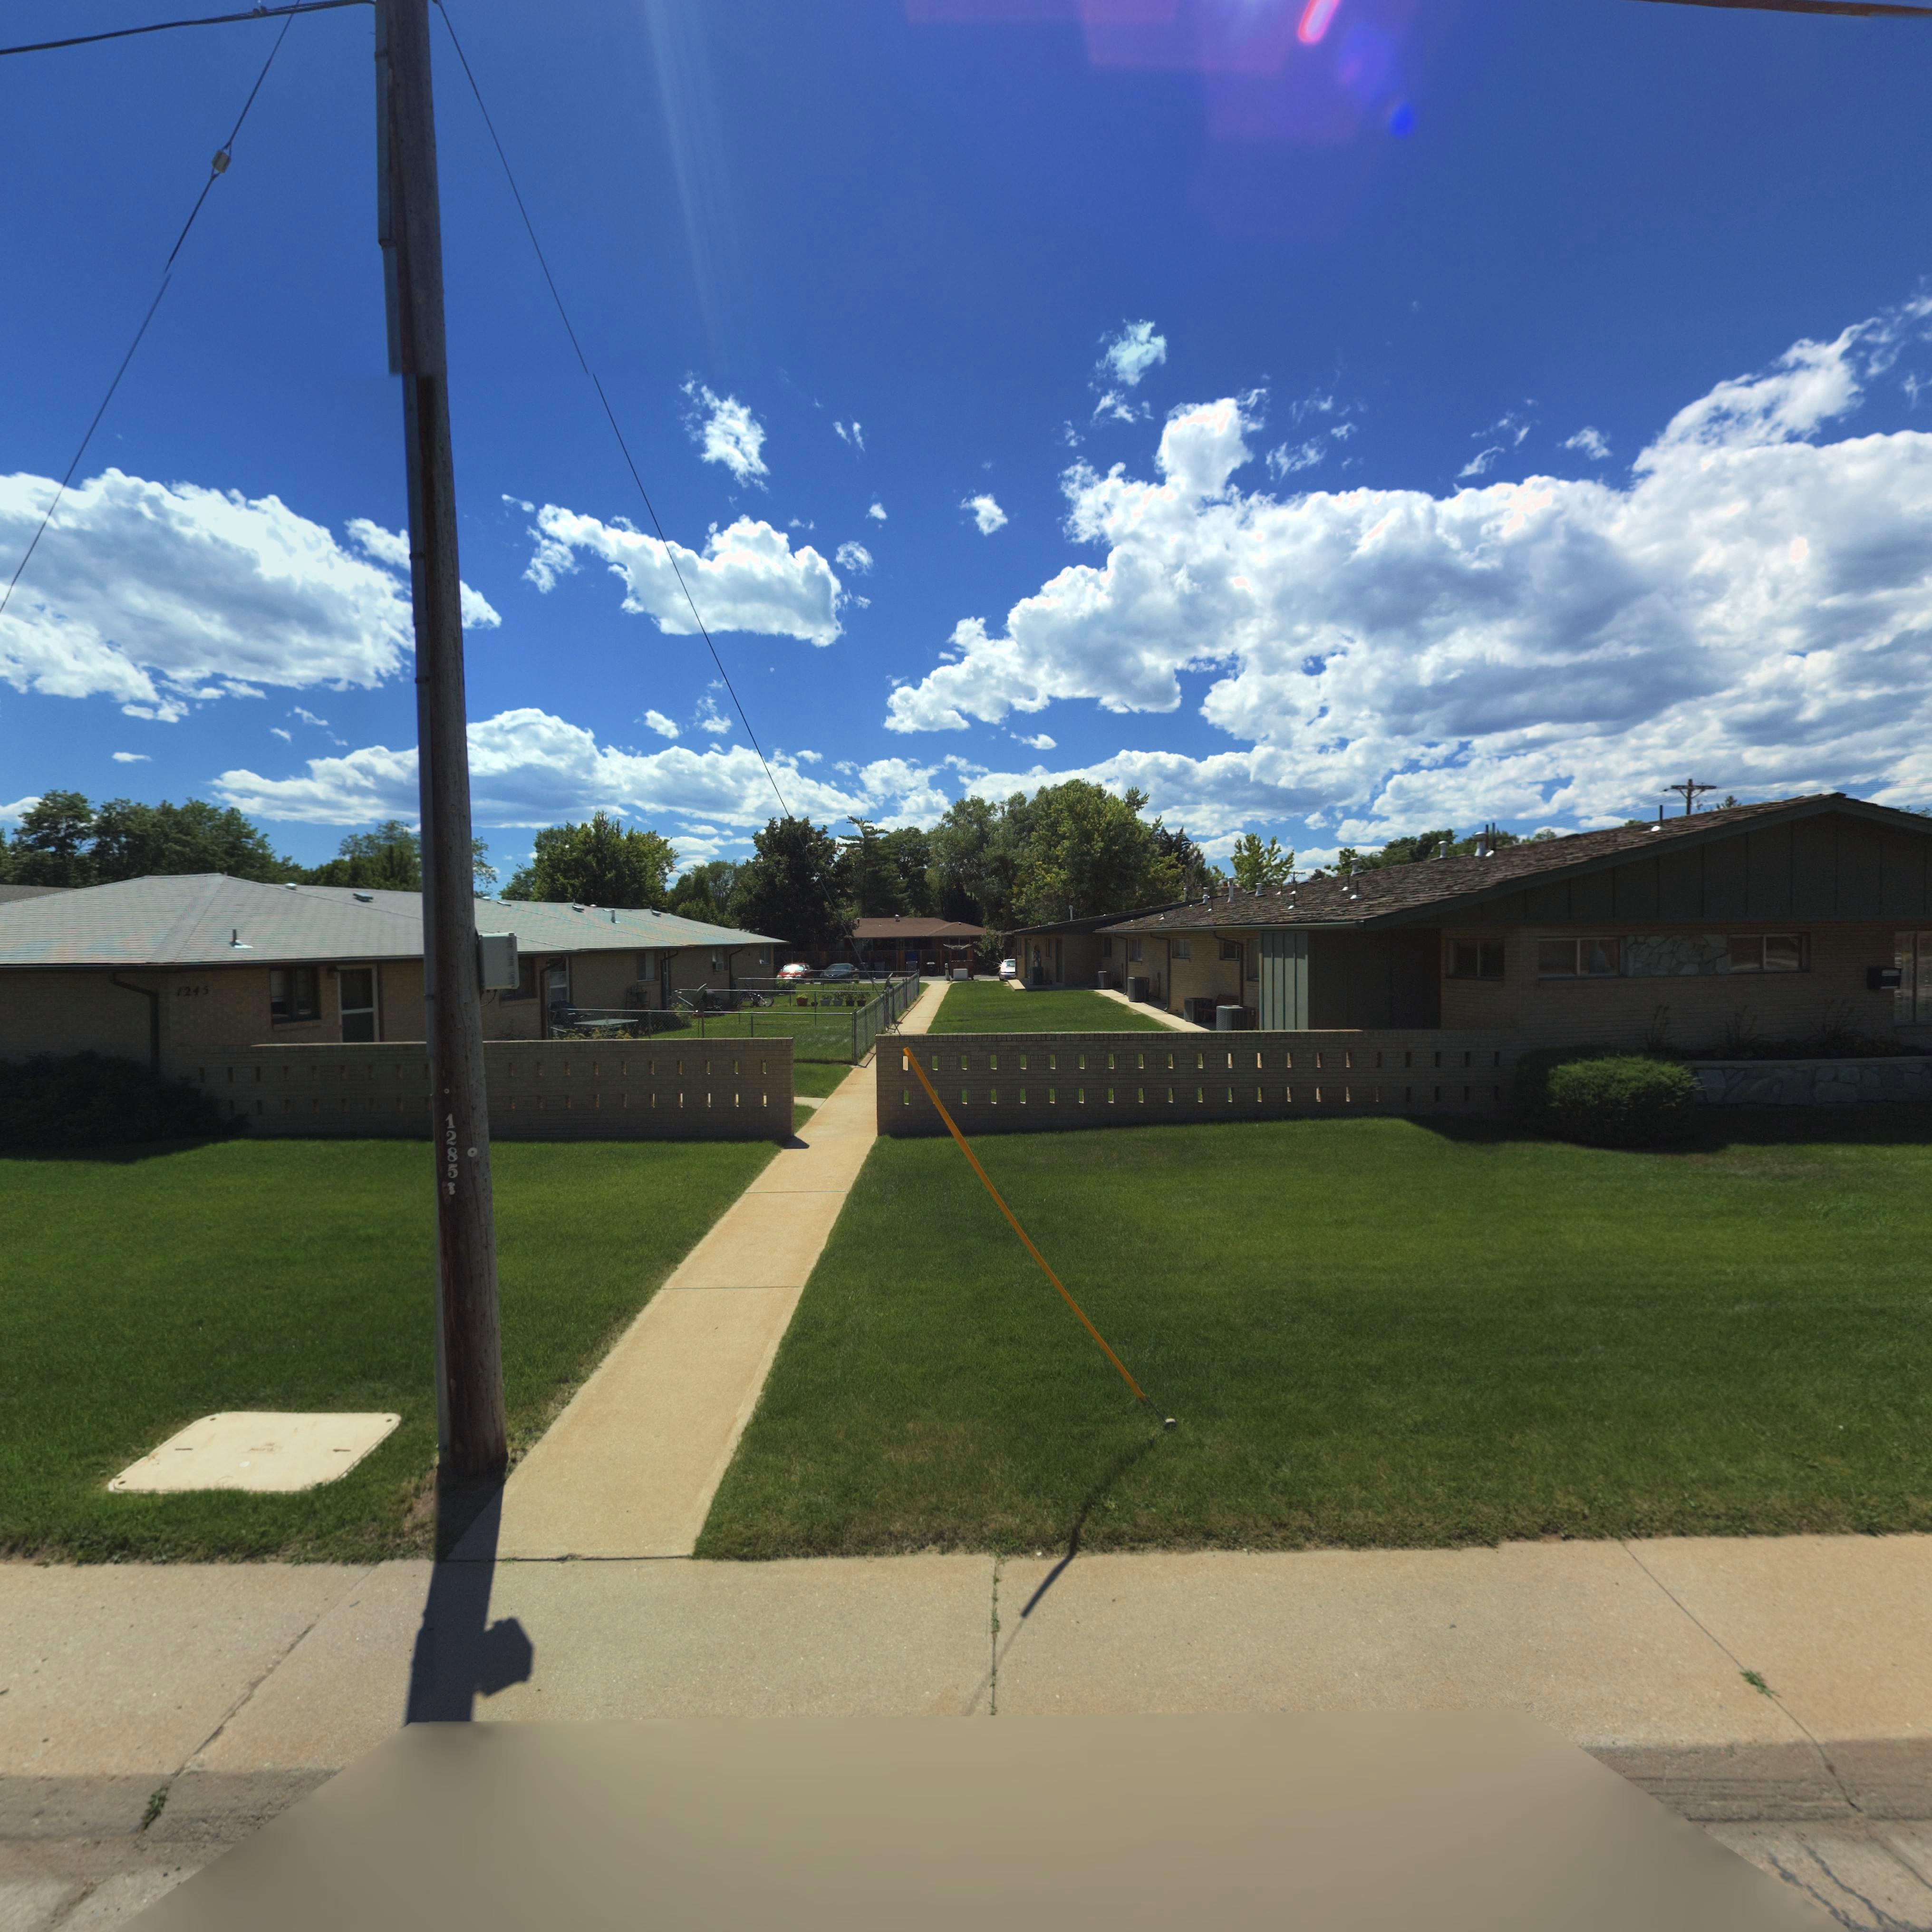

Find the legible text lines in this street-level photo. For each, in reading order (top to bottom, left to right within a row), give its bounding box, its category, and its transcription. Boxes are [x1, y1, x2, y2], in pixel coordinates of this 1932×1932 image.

[175, 984, 210, 998] StreetNumber: 1245